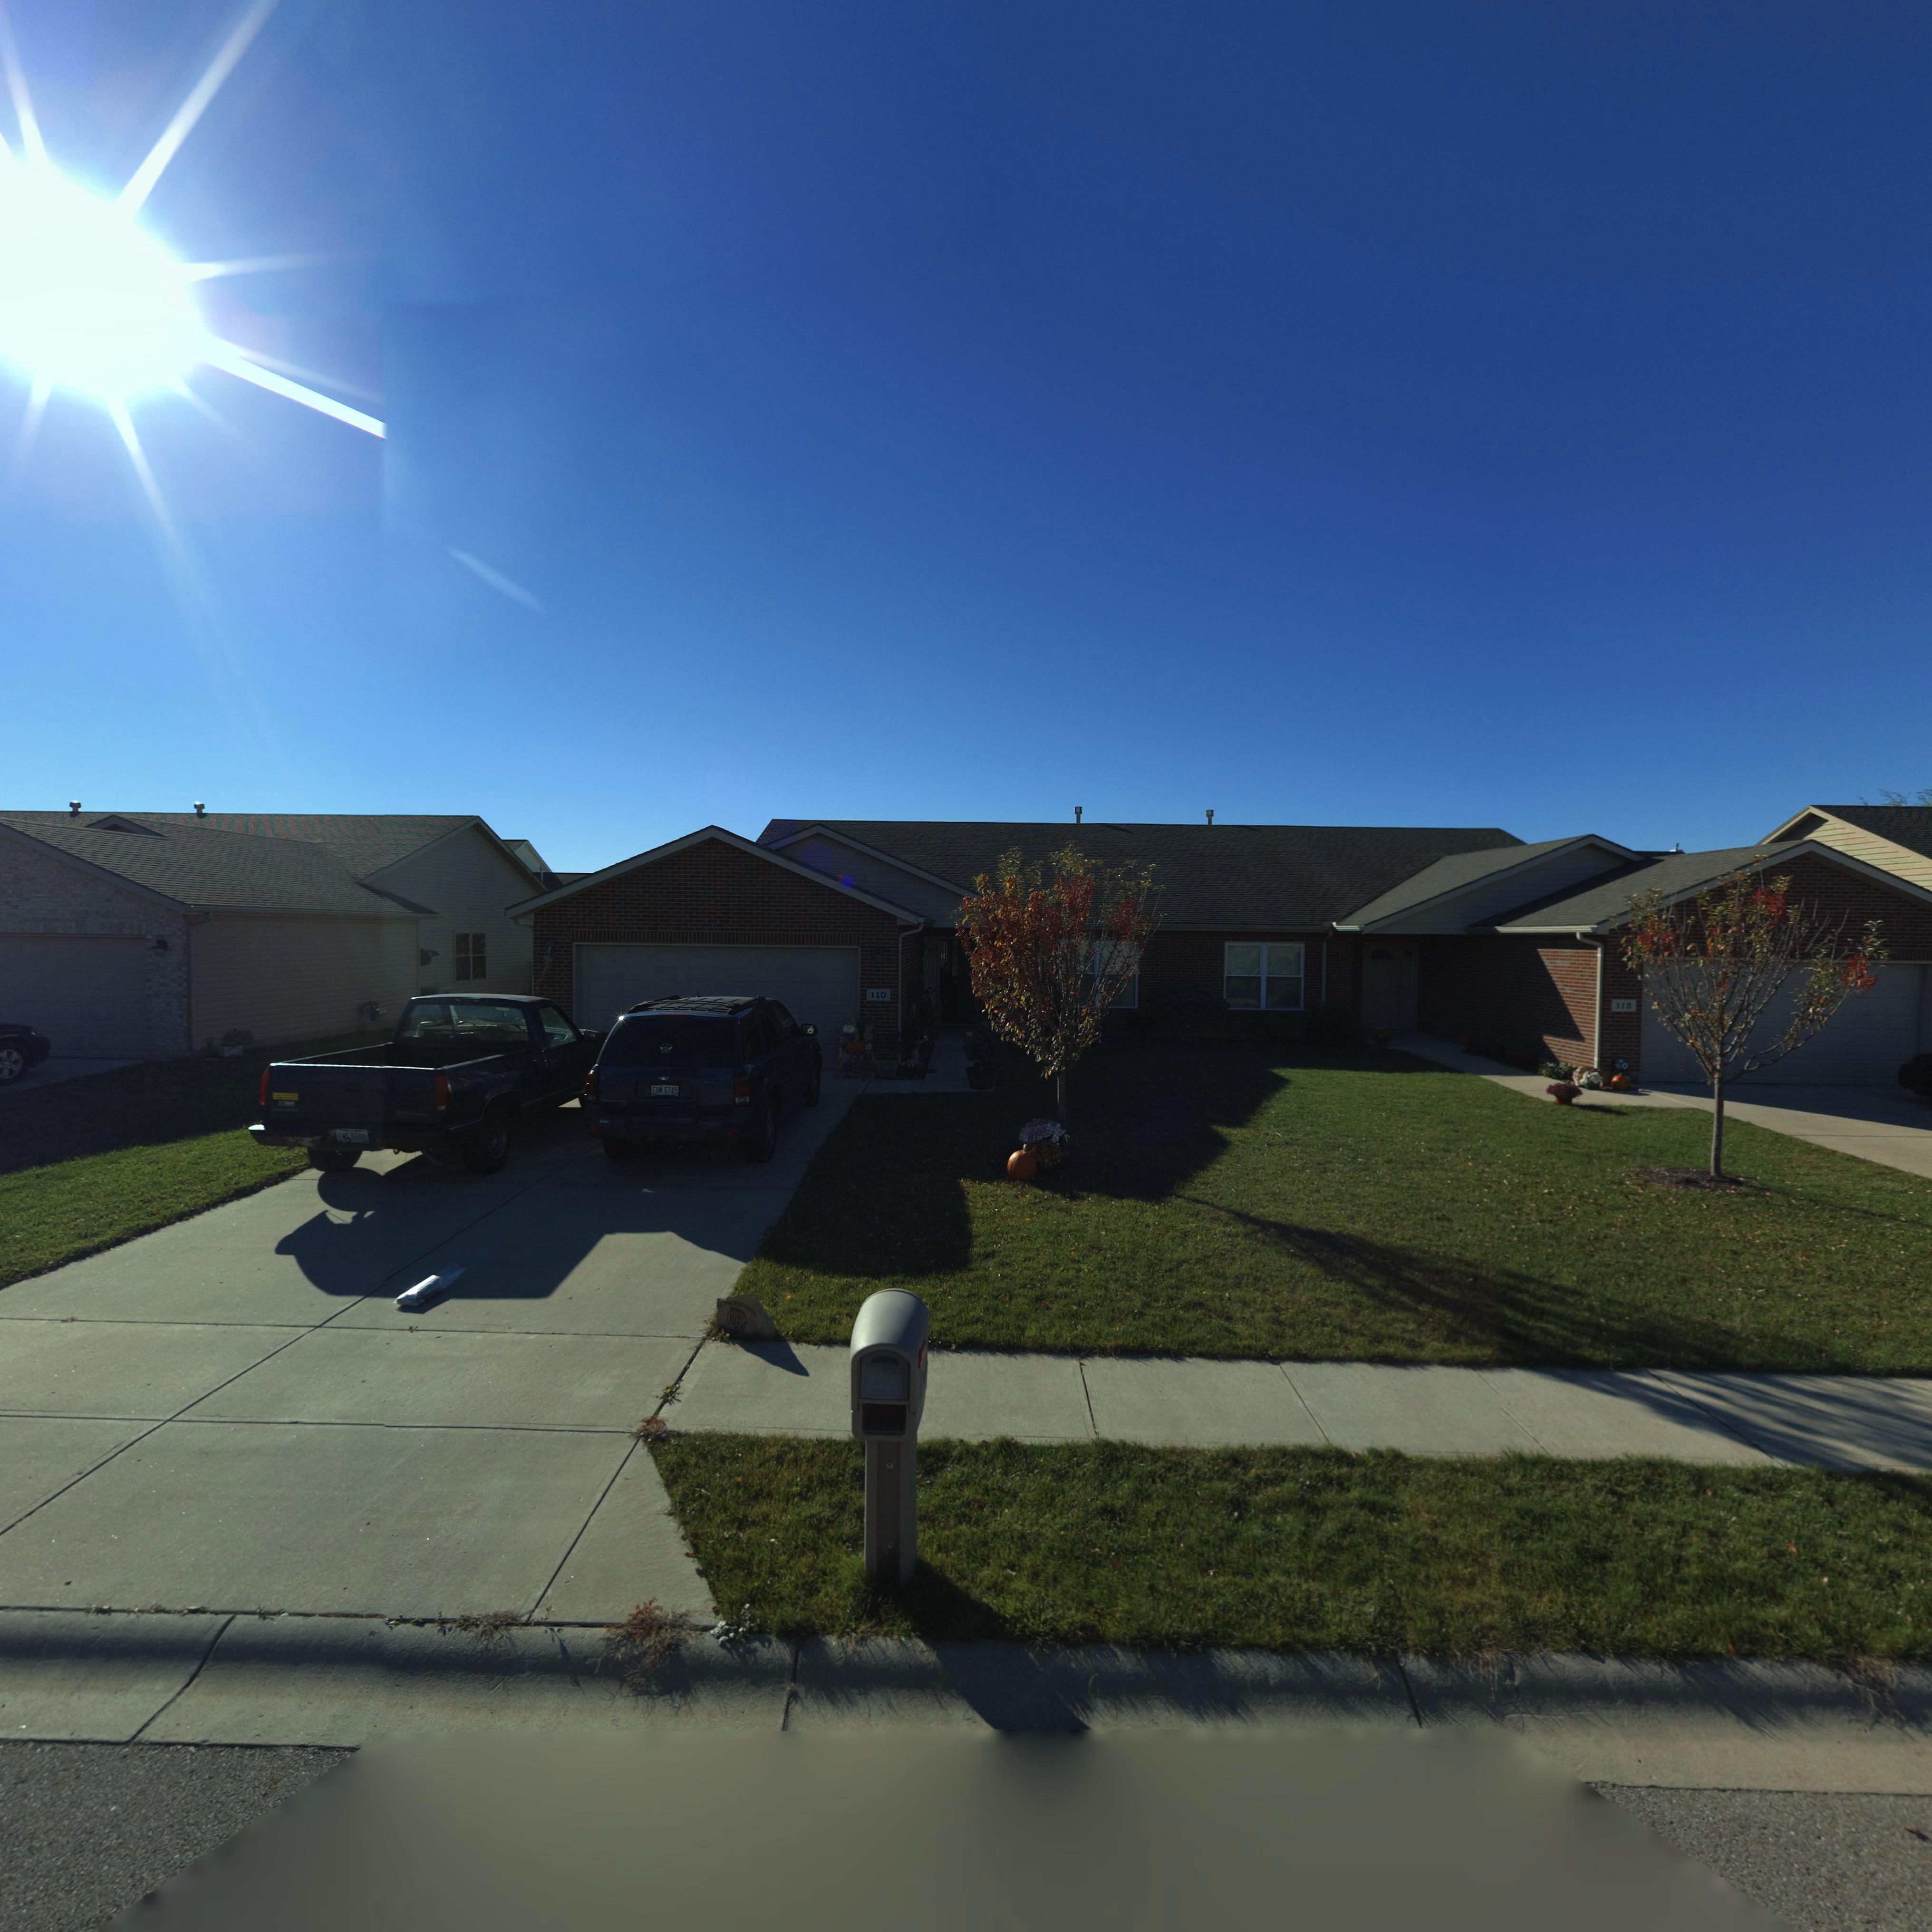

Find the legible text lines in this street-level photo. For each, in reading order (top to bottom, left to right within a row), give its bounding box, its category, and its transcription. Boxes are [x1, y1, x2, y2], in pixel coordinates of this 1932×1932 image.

[869, 990, 888, 999] StreetNumber: 110
[1614, 1000, 1633, 1011] StreetNumber: 112